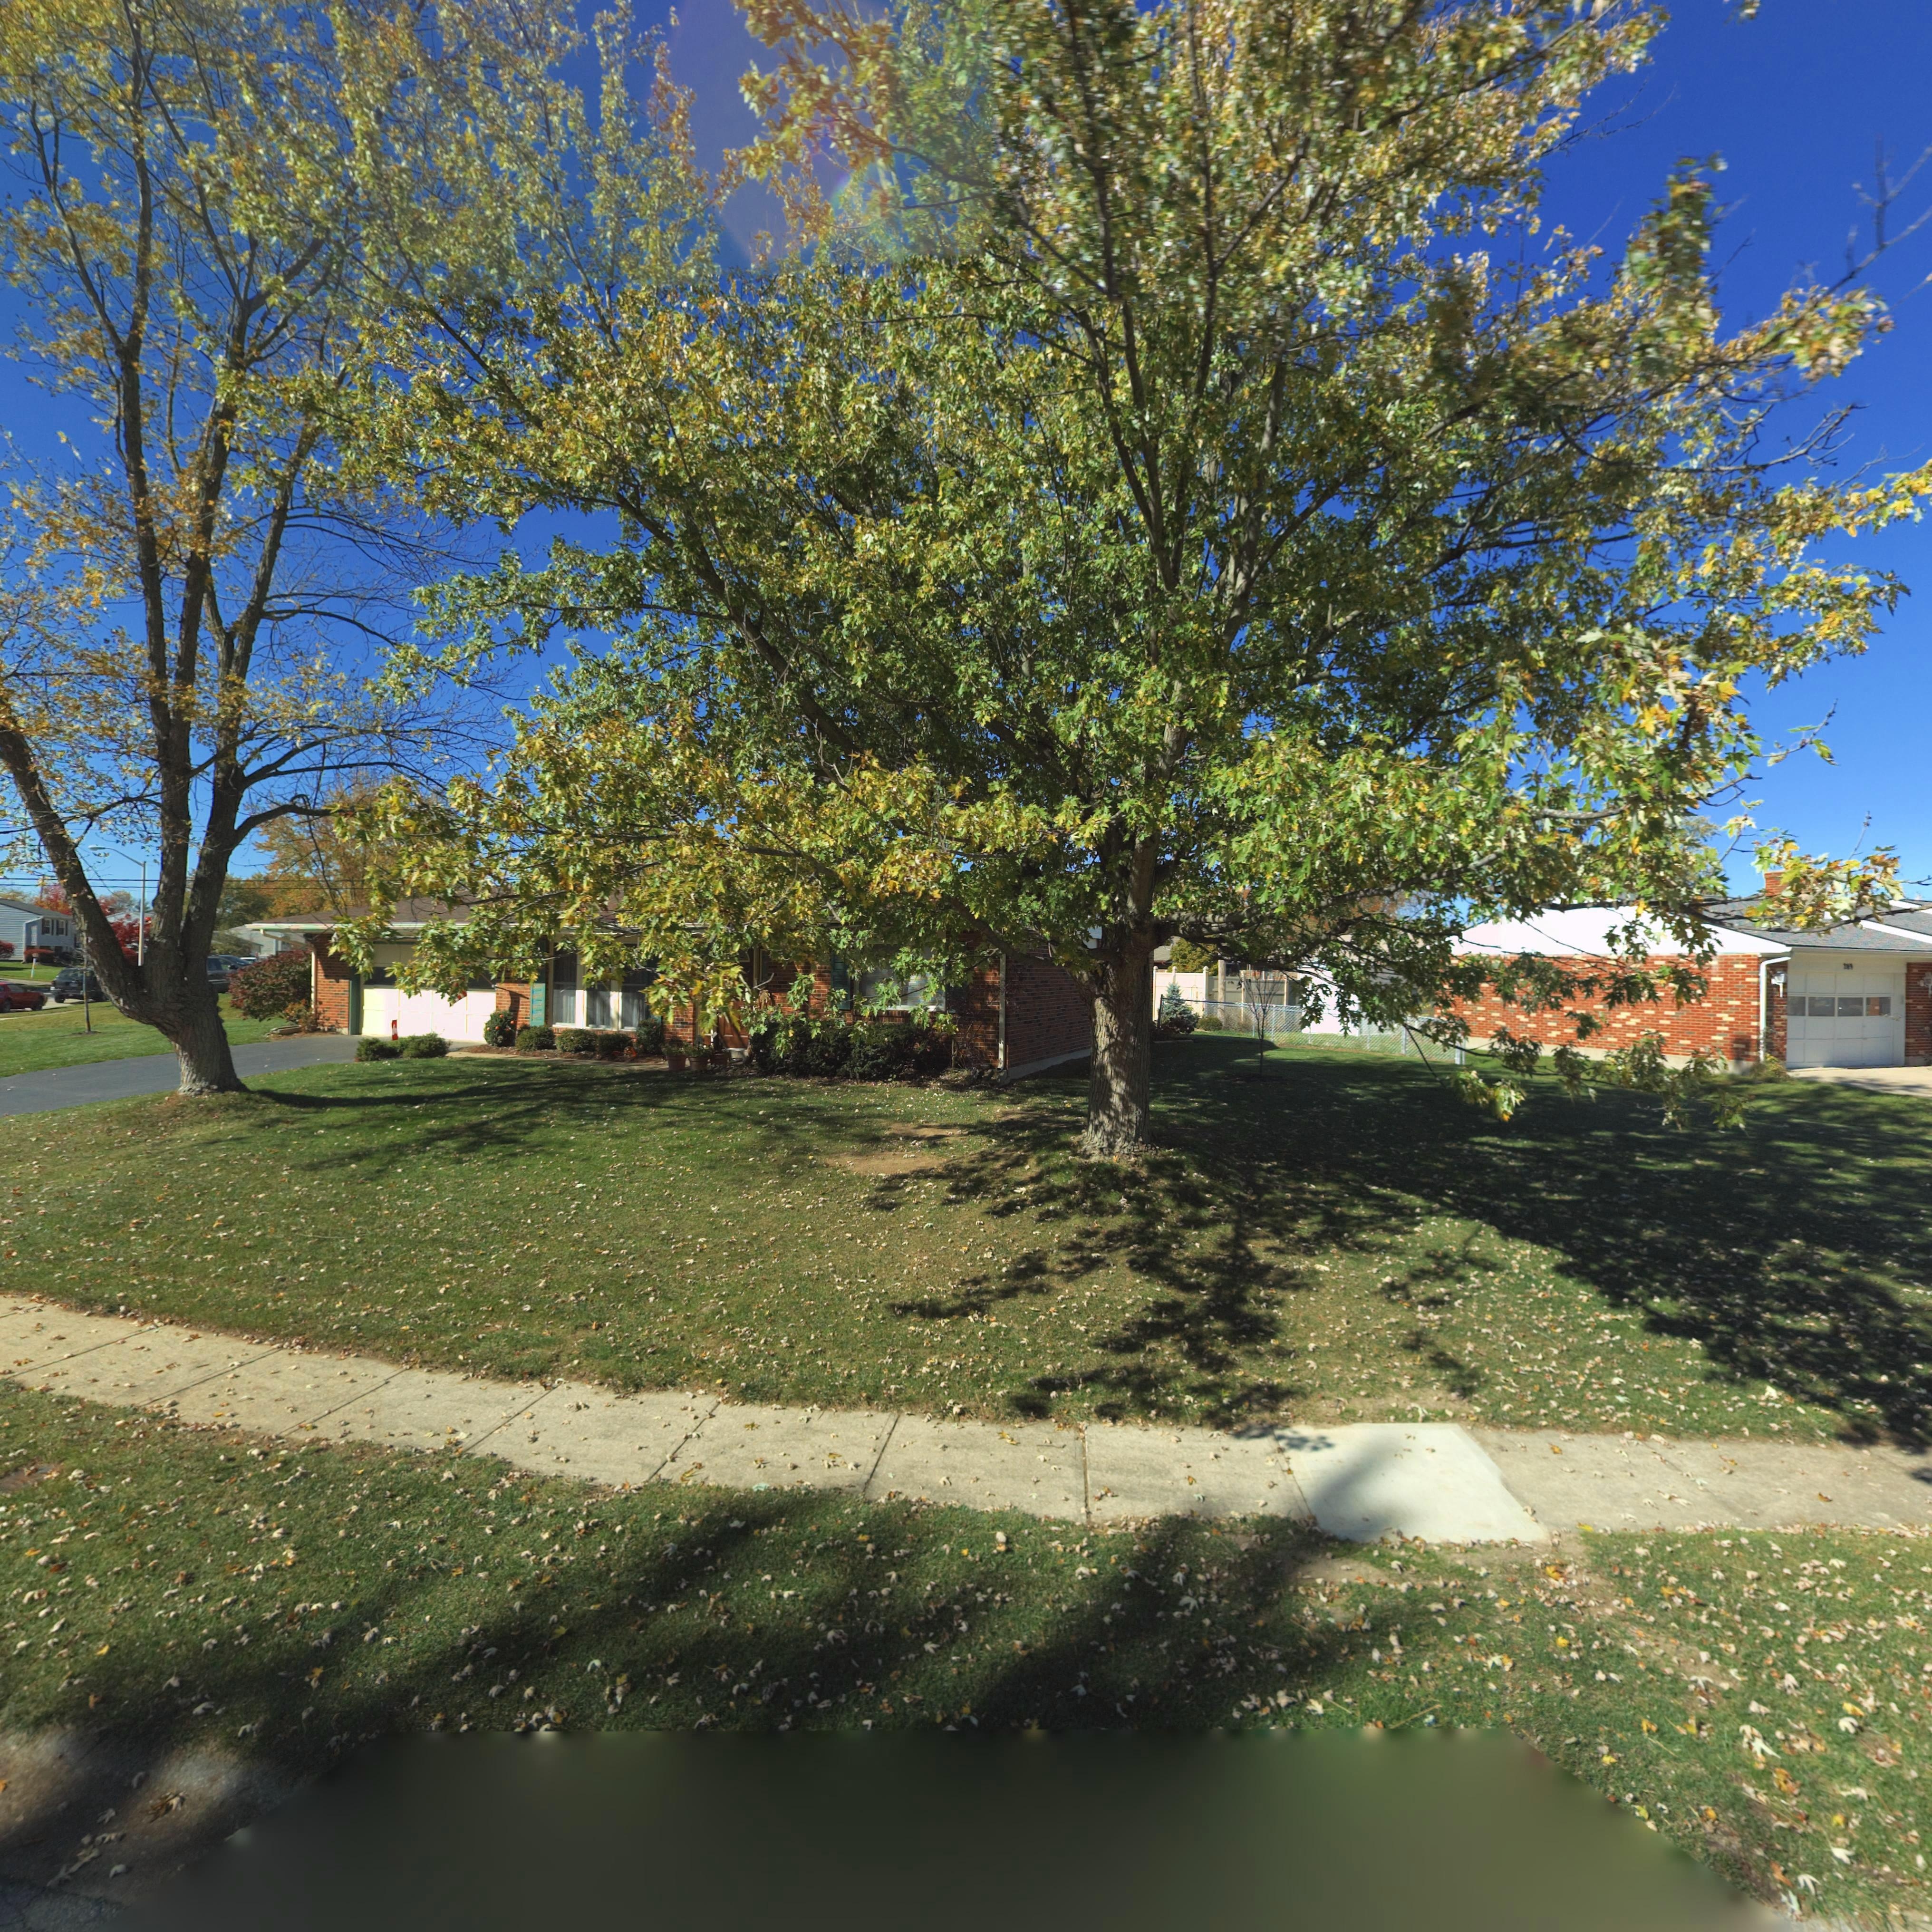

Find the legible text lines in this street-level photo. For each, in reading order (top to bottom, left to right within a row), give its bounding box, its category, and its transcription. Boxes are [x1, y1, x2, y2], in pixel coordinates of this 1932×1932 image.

[1842, 963, 1853, 970] StreetNumber: 2*9